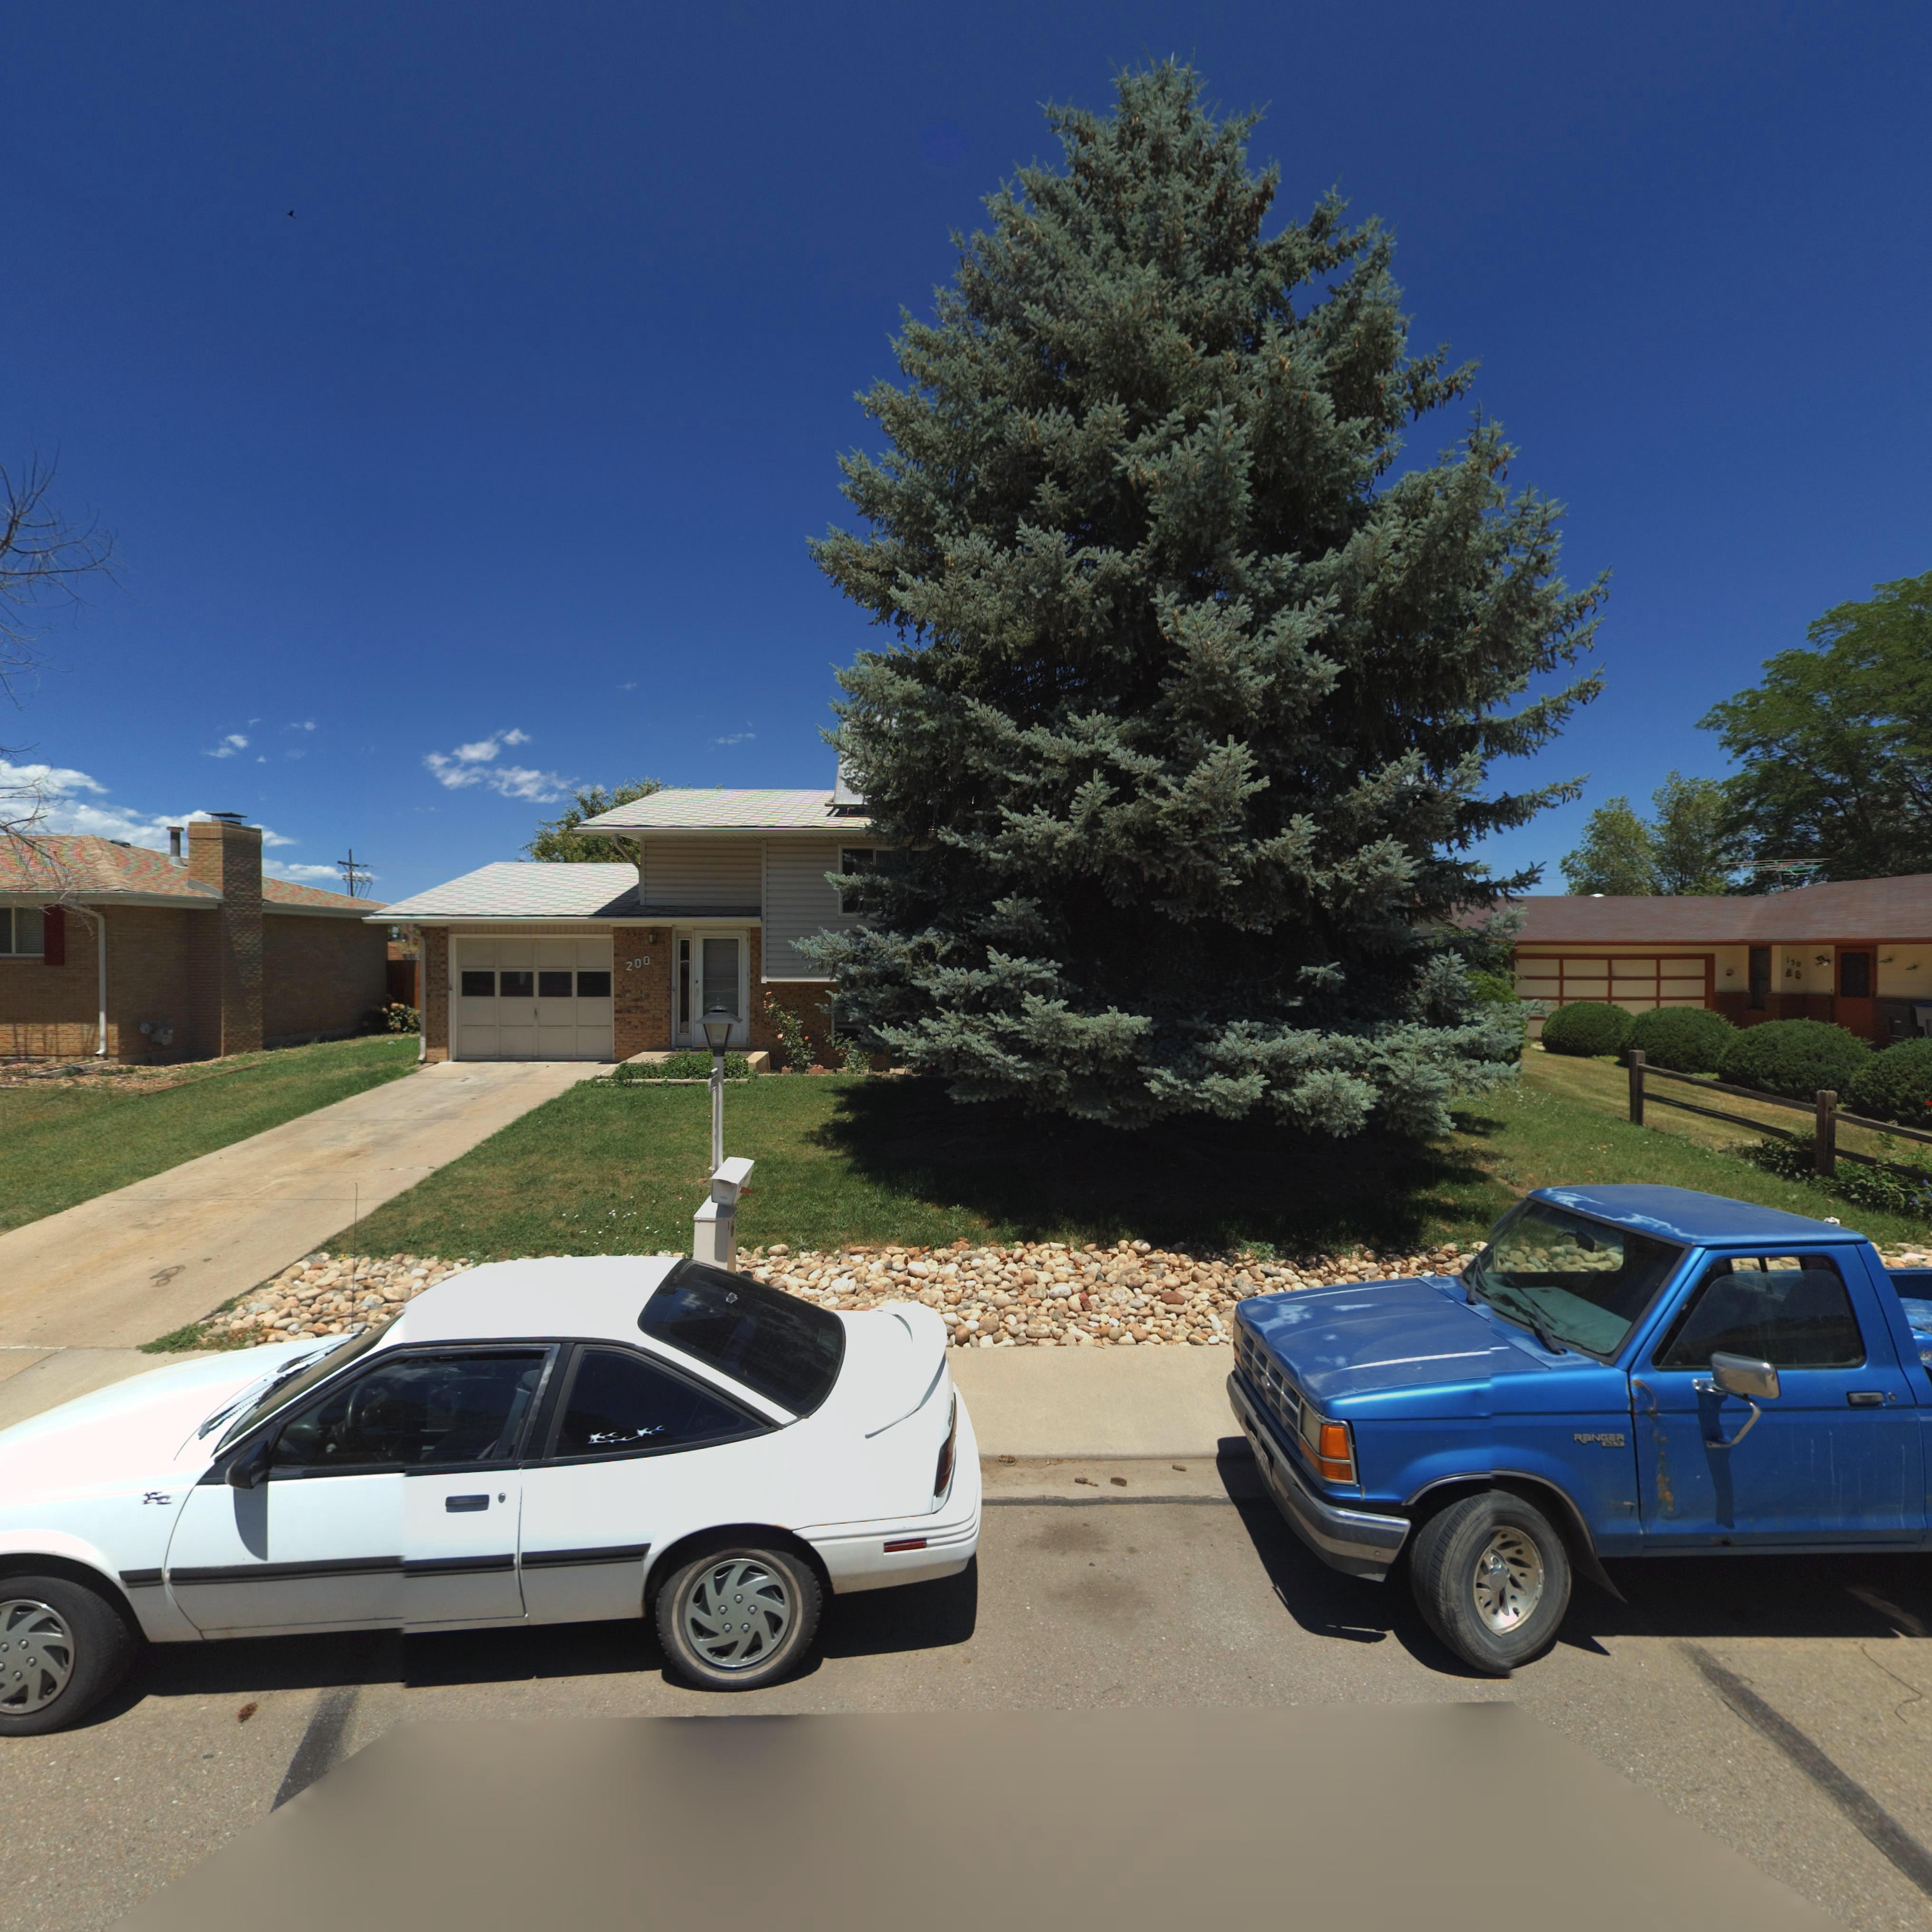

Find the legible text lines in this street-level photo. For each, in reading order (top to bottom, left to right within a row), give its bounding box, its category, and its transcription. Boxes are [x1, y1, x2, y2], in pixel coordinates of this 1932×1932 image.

[625, 954, 651, 971] StreetNumber: 200
[1785, 955, 1801, 968] StreetNumber: 130